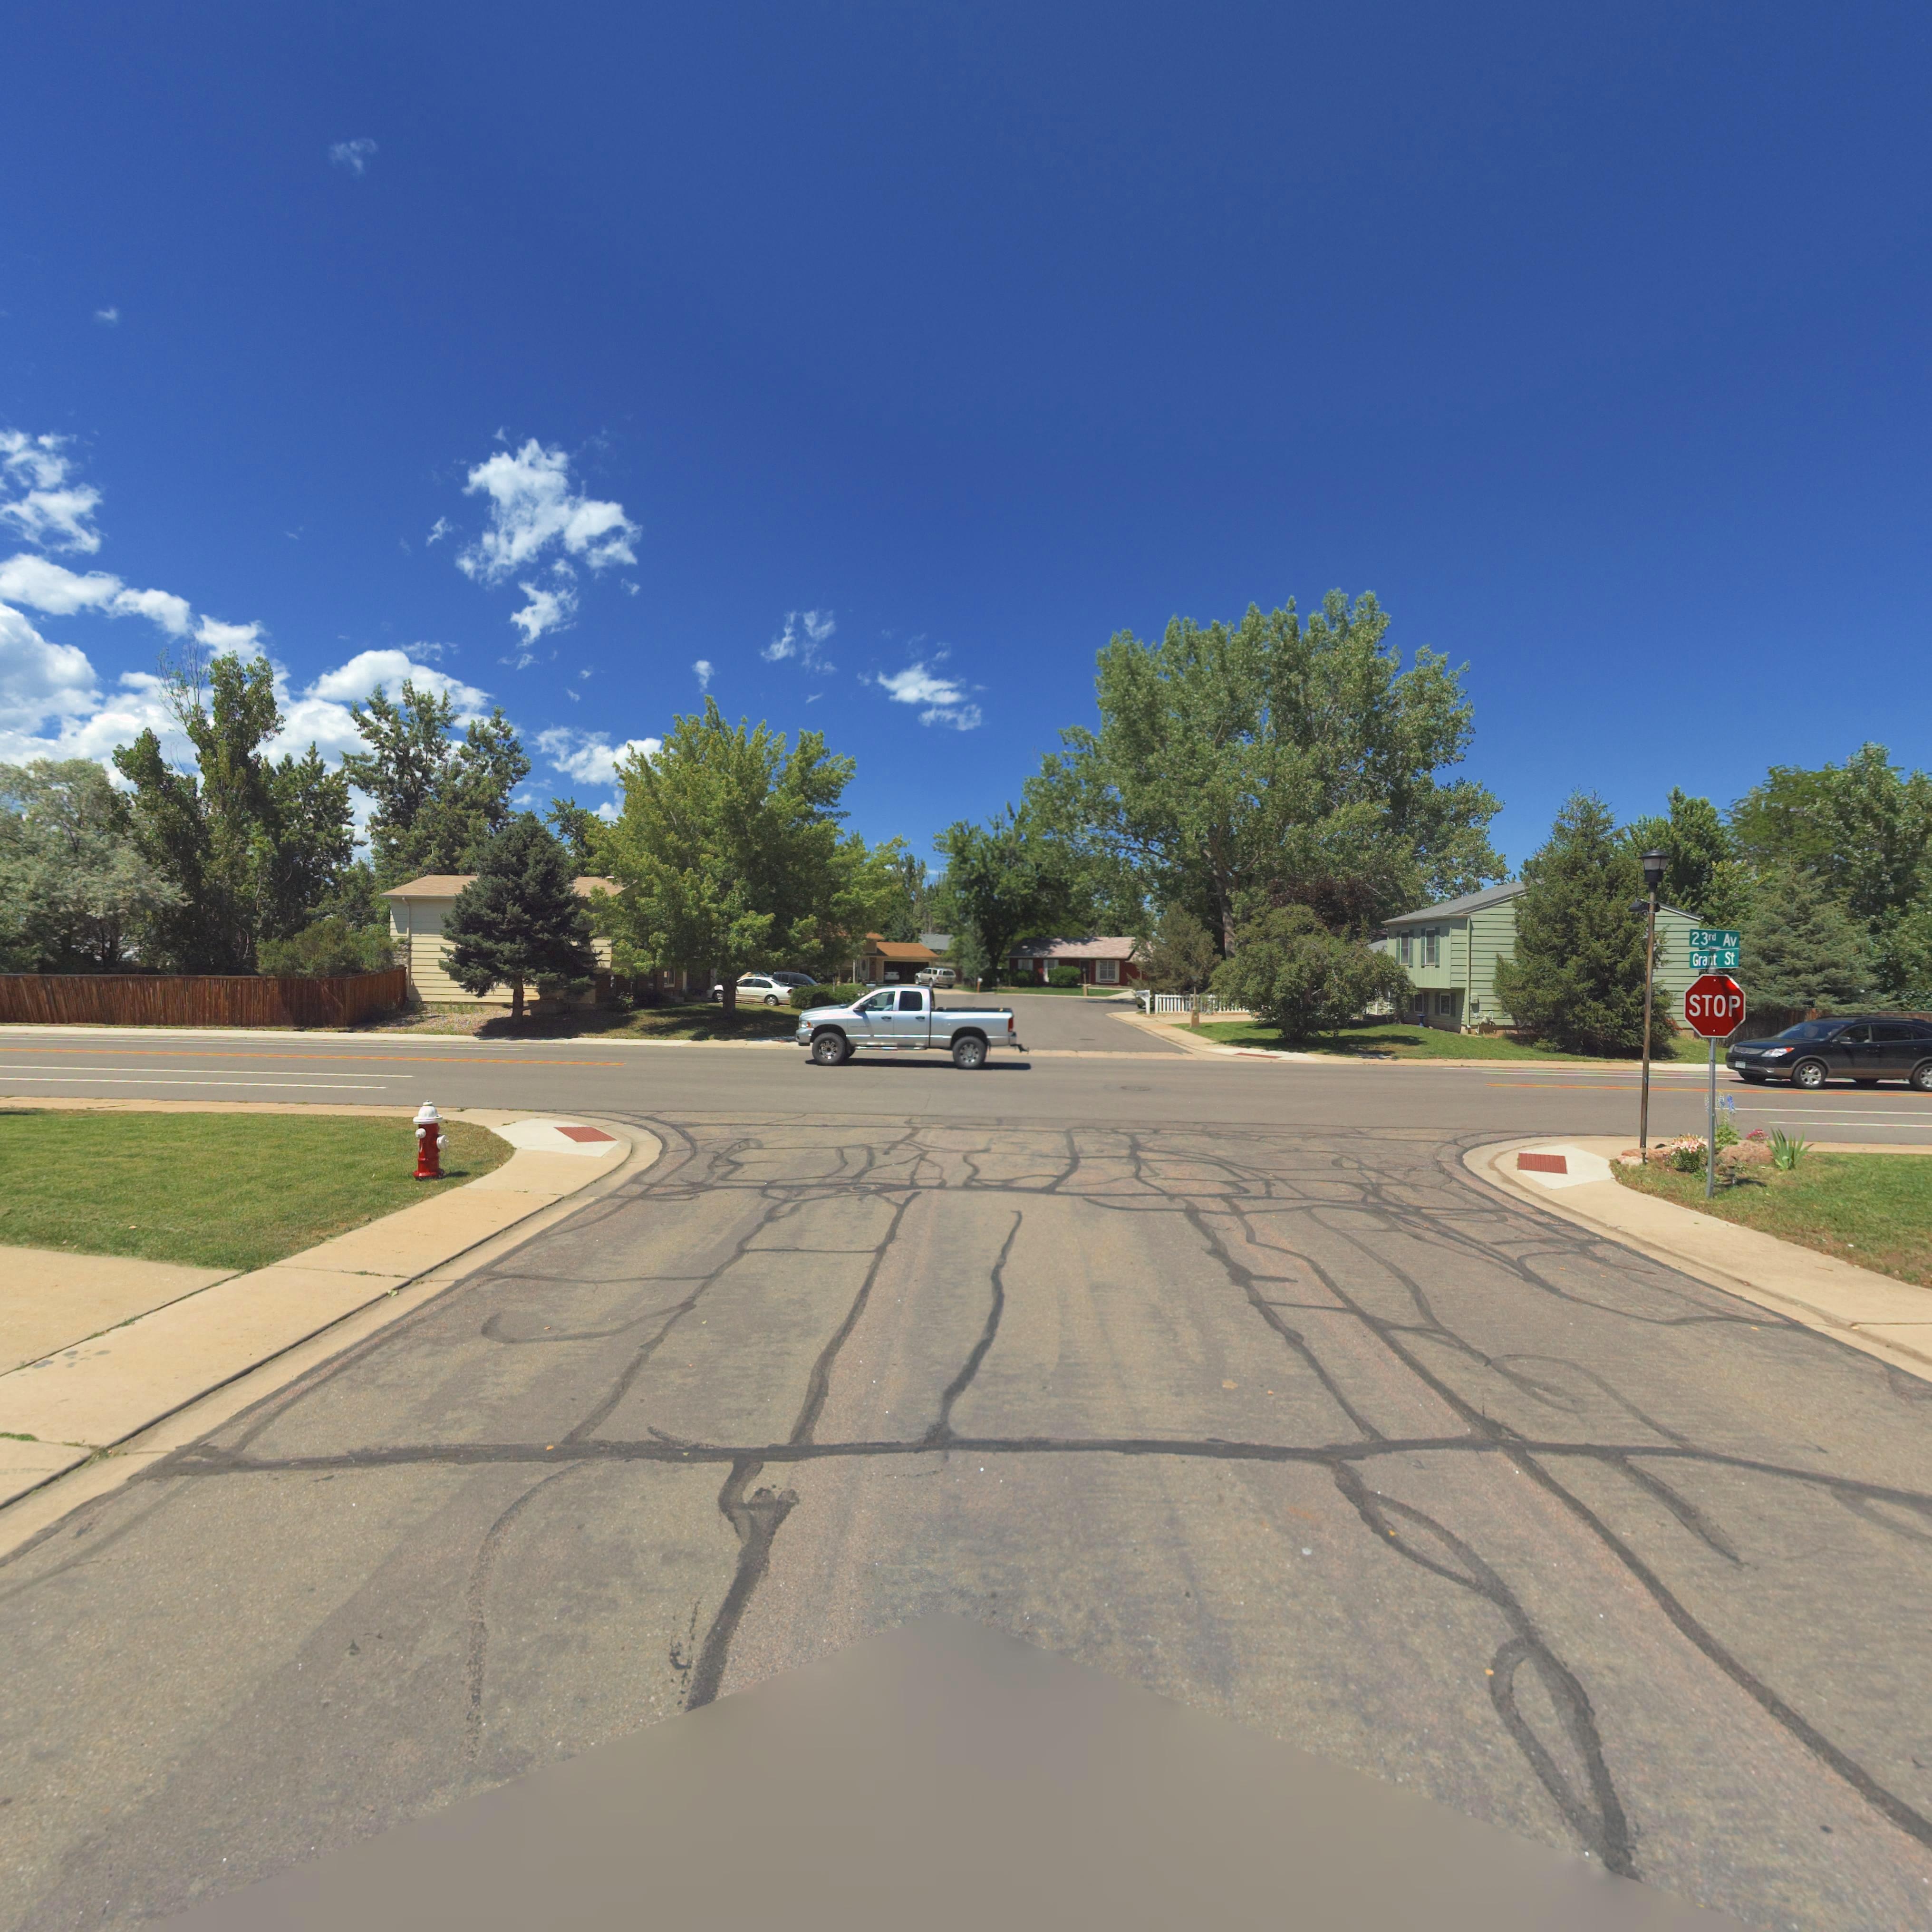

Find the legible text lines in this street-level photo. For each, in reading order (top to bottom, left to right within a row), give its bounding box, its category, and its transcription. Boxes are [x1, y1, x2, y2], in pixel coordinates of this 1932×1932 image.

[1691, 930, 1738, 947] StreetName: 23rd Av
[1691, 951, 1736, 966] StreetName: Grant St